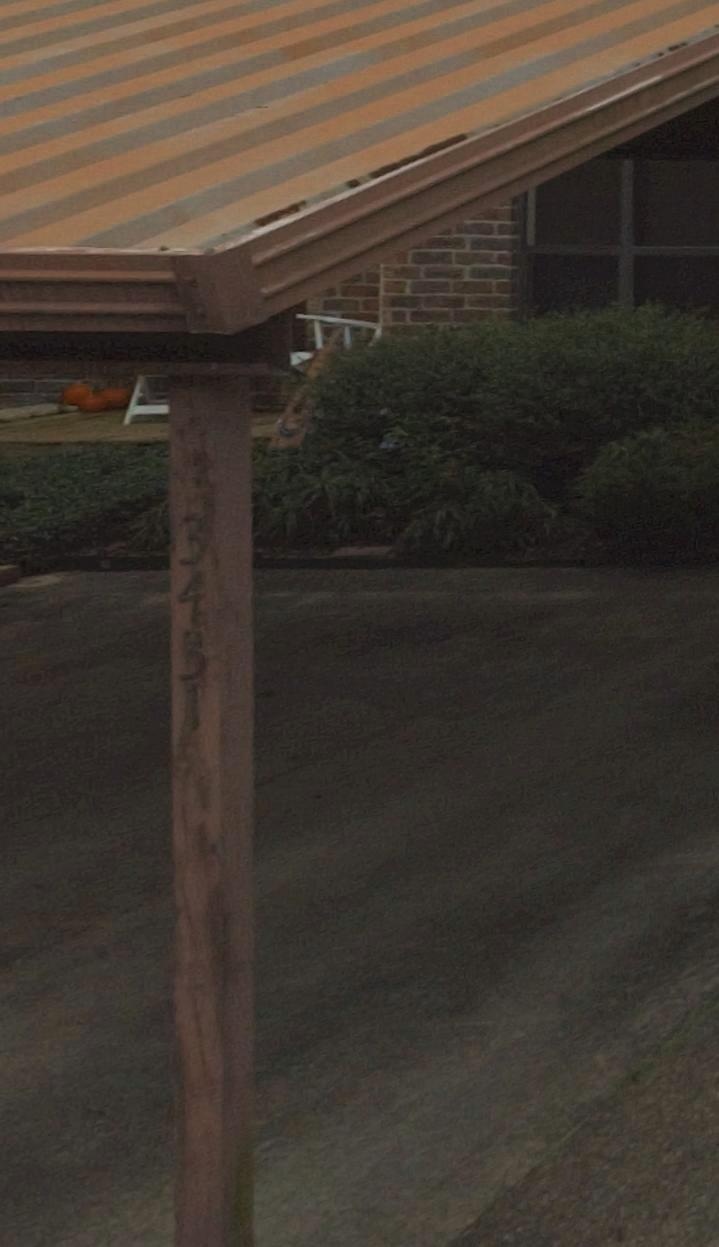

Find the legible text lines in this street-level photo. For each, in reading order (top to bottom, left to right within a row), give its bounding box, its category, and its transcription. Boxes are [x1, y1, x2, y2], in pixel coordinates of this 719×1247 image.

[173, 509, 219, 732] StreetNumber: 3431